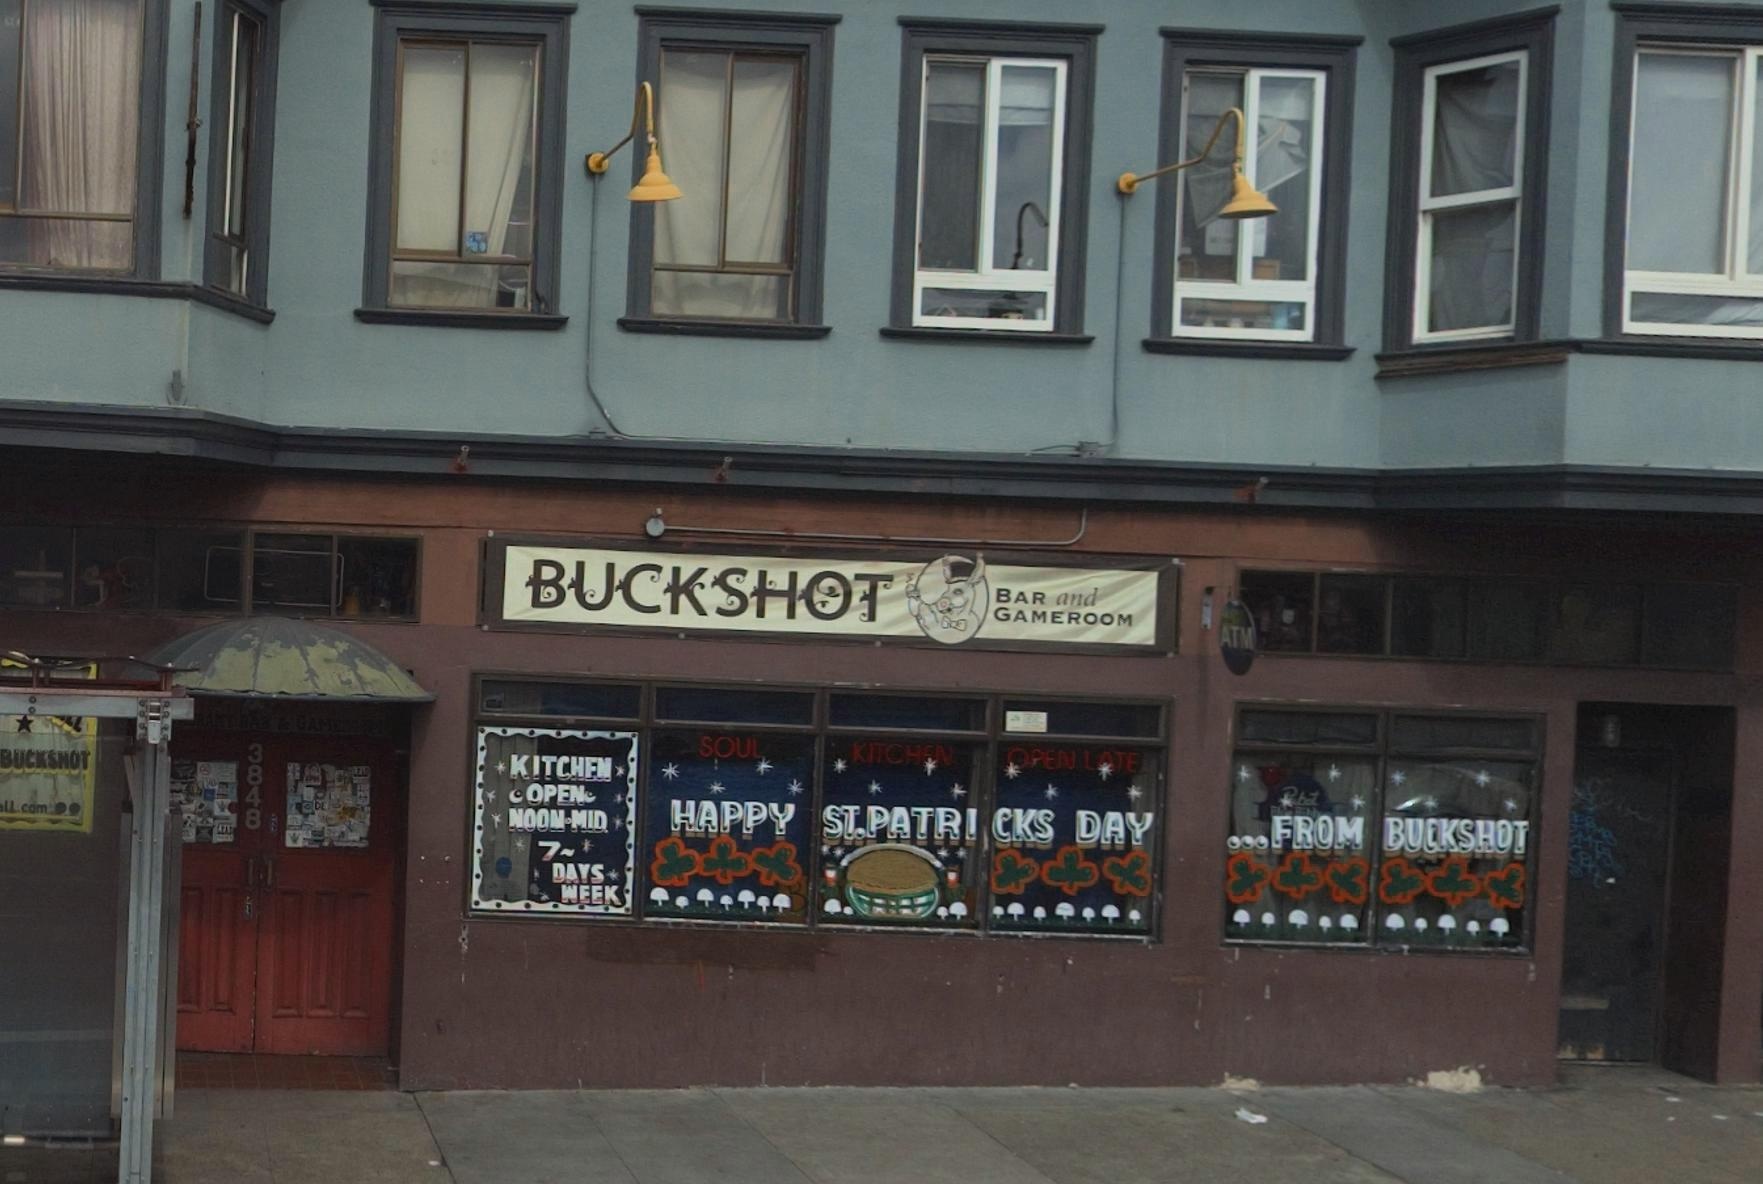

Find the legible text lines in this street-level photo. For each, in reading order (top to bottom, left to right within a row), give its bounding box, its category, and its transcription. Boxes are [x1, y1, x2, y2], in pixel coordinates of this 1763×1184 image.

[528, 555, 898, 624] BusinessName: BUCKSHOT
[992, 582, 1103, 611] None: BAR and
[990, 602, 1135, 631] None: GAMEROOM
[1217, 620, 1256, 655] None: ATM
[196, 710, 386, 736] None: RANT BAR & GAME***M
[0, 745, 92, 771] BusinessName: BUCKSHOT
[506, 752, 614, 785] None: KITCHEN
[695, 734, 765, 761] None: SOUL
[847, 739, 956, 770] None: KITCHEN
[1001, 741, 1143, 779] None: OPEN LATE
[2, 796, 50, 817] None: ll.com
[242, 738, 265, 833] StreetNumber: 3848
[523, 780, 588, 810] None: OPEM
[504, 805, 610, 836] None: NOON-MID
[666, 796, 1157, 850] None: HAPPY ST.PATRICKS DAY
[1265, 812, 1531, 859] None: FROM BUCKSHOT
[533, 837, 564, 865] None: 7
[548, 861, 608, 889] None: DAYS
[557, 880, 625, 908] None: WEEK